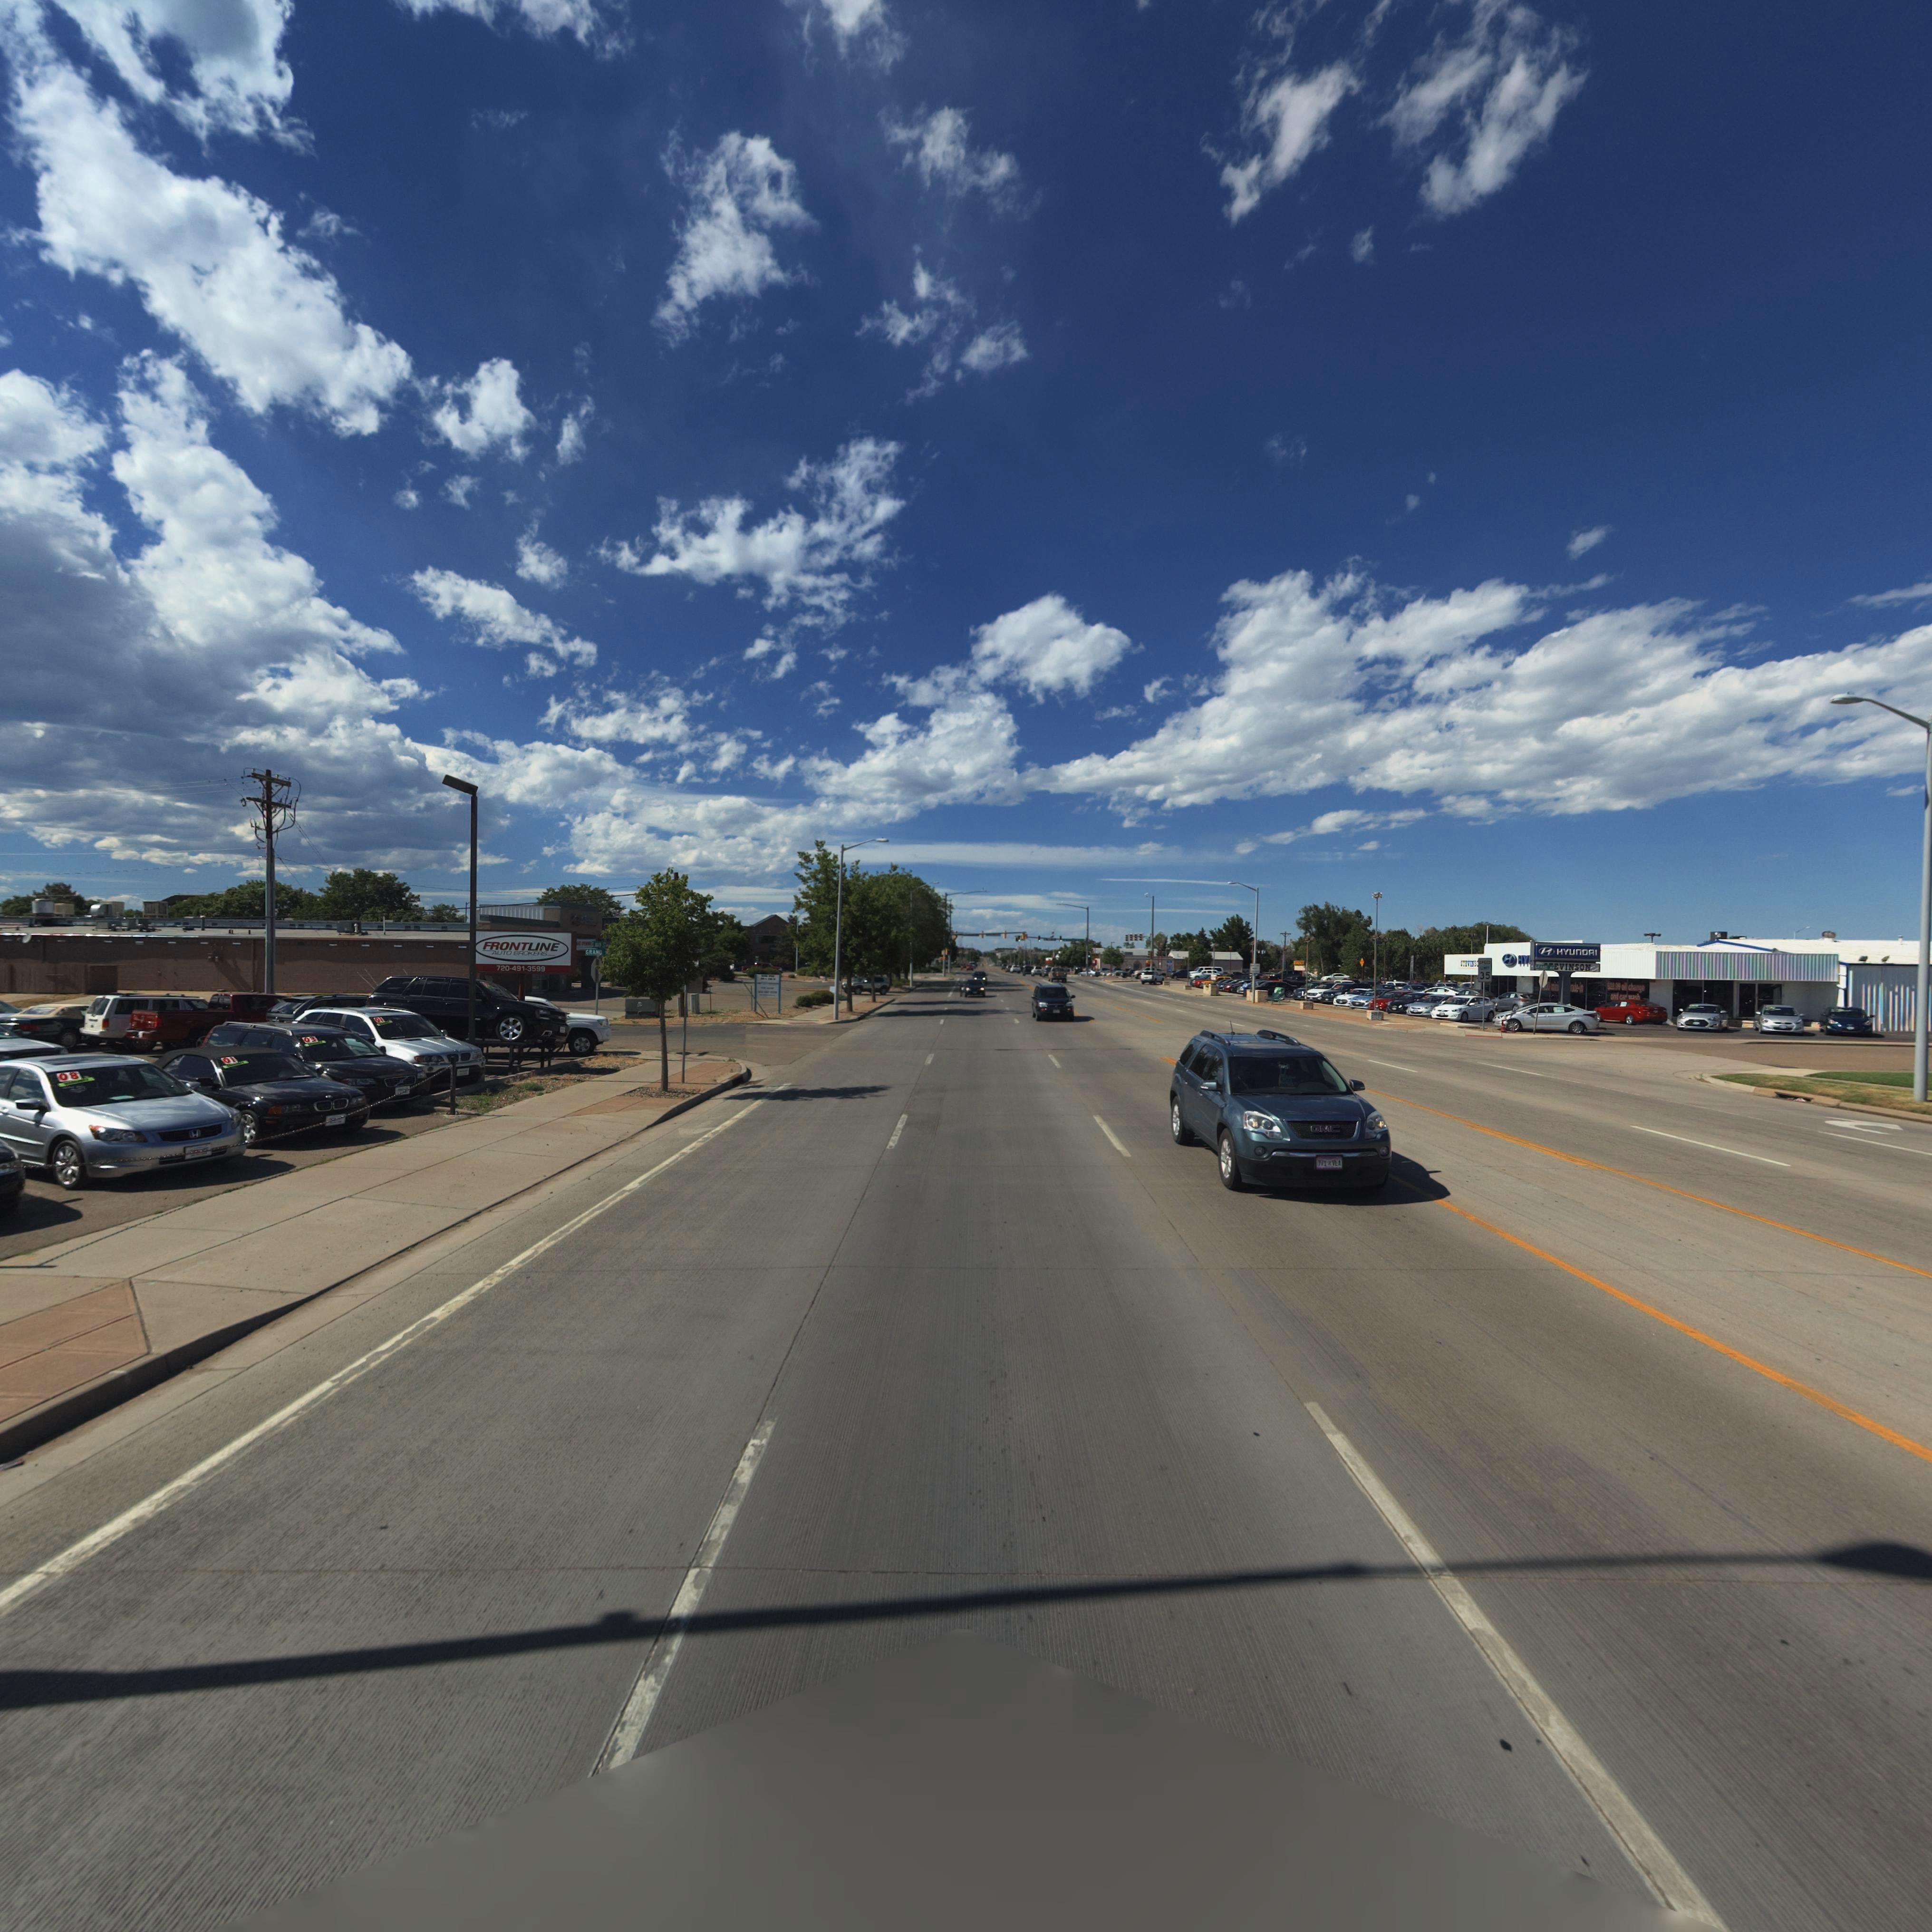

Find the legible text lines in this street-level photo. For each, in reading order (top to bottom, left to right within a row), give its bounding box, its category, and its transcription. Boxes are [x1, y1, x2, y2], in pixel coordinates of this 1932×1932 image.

[482, 941, 560, 952] BusinessName: FRONTLINE
[590, 941, 606, 947] StreetName: * MAIN ST
[491, 950, 548, 956] BusinessName: AUTO BROKERS
[585, 949, 613, 955] StreetName: GRAND **
[1556, 948, 1598, 956] BusinessName: HYUnDAI
[1517, 955, 1552, 964] BusinessName: HY*****
[1460, 960, 1486, 967] BusinessName: STEVI*S**
[1534, 964, 1555, 970] StreetName: G*AND AV
[1543, 962, 1592, 971] BusinessName: ***VINSON